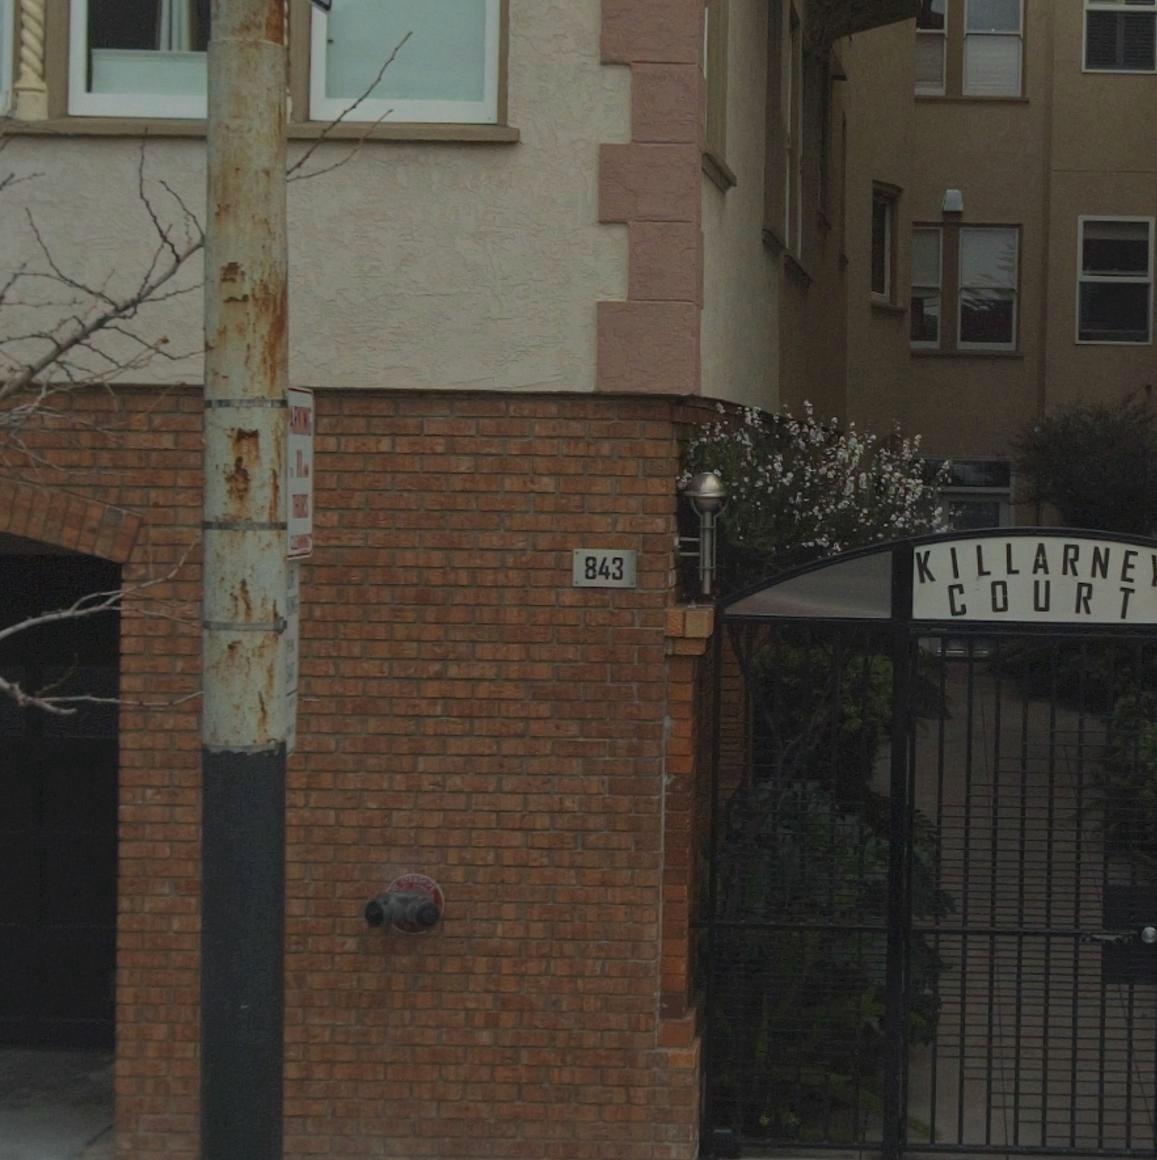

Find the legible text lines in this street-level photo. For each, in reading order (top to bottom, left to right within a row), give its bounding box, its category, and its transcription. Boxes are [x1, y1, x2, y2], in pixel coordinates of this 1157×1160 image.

[294, 446, 305, 480] None: 11
[583, 555, 626, 582] StreetNumber: 843
[913, 541, 1141, 585] BusinessName: KILLARNE
[945, 578, 1138, 621] BusinessName: COURT